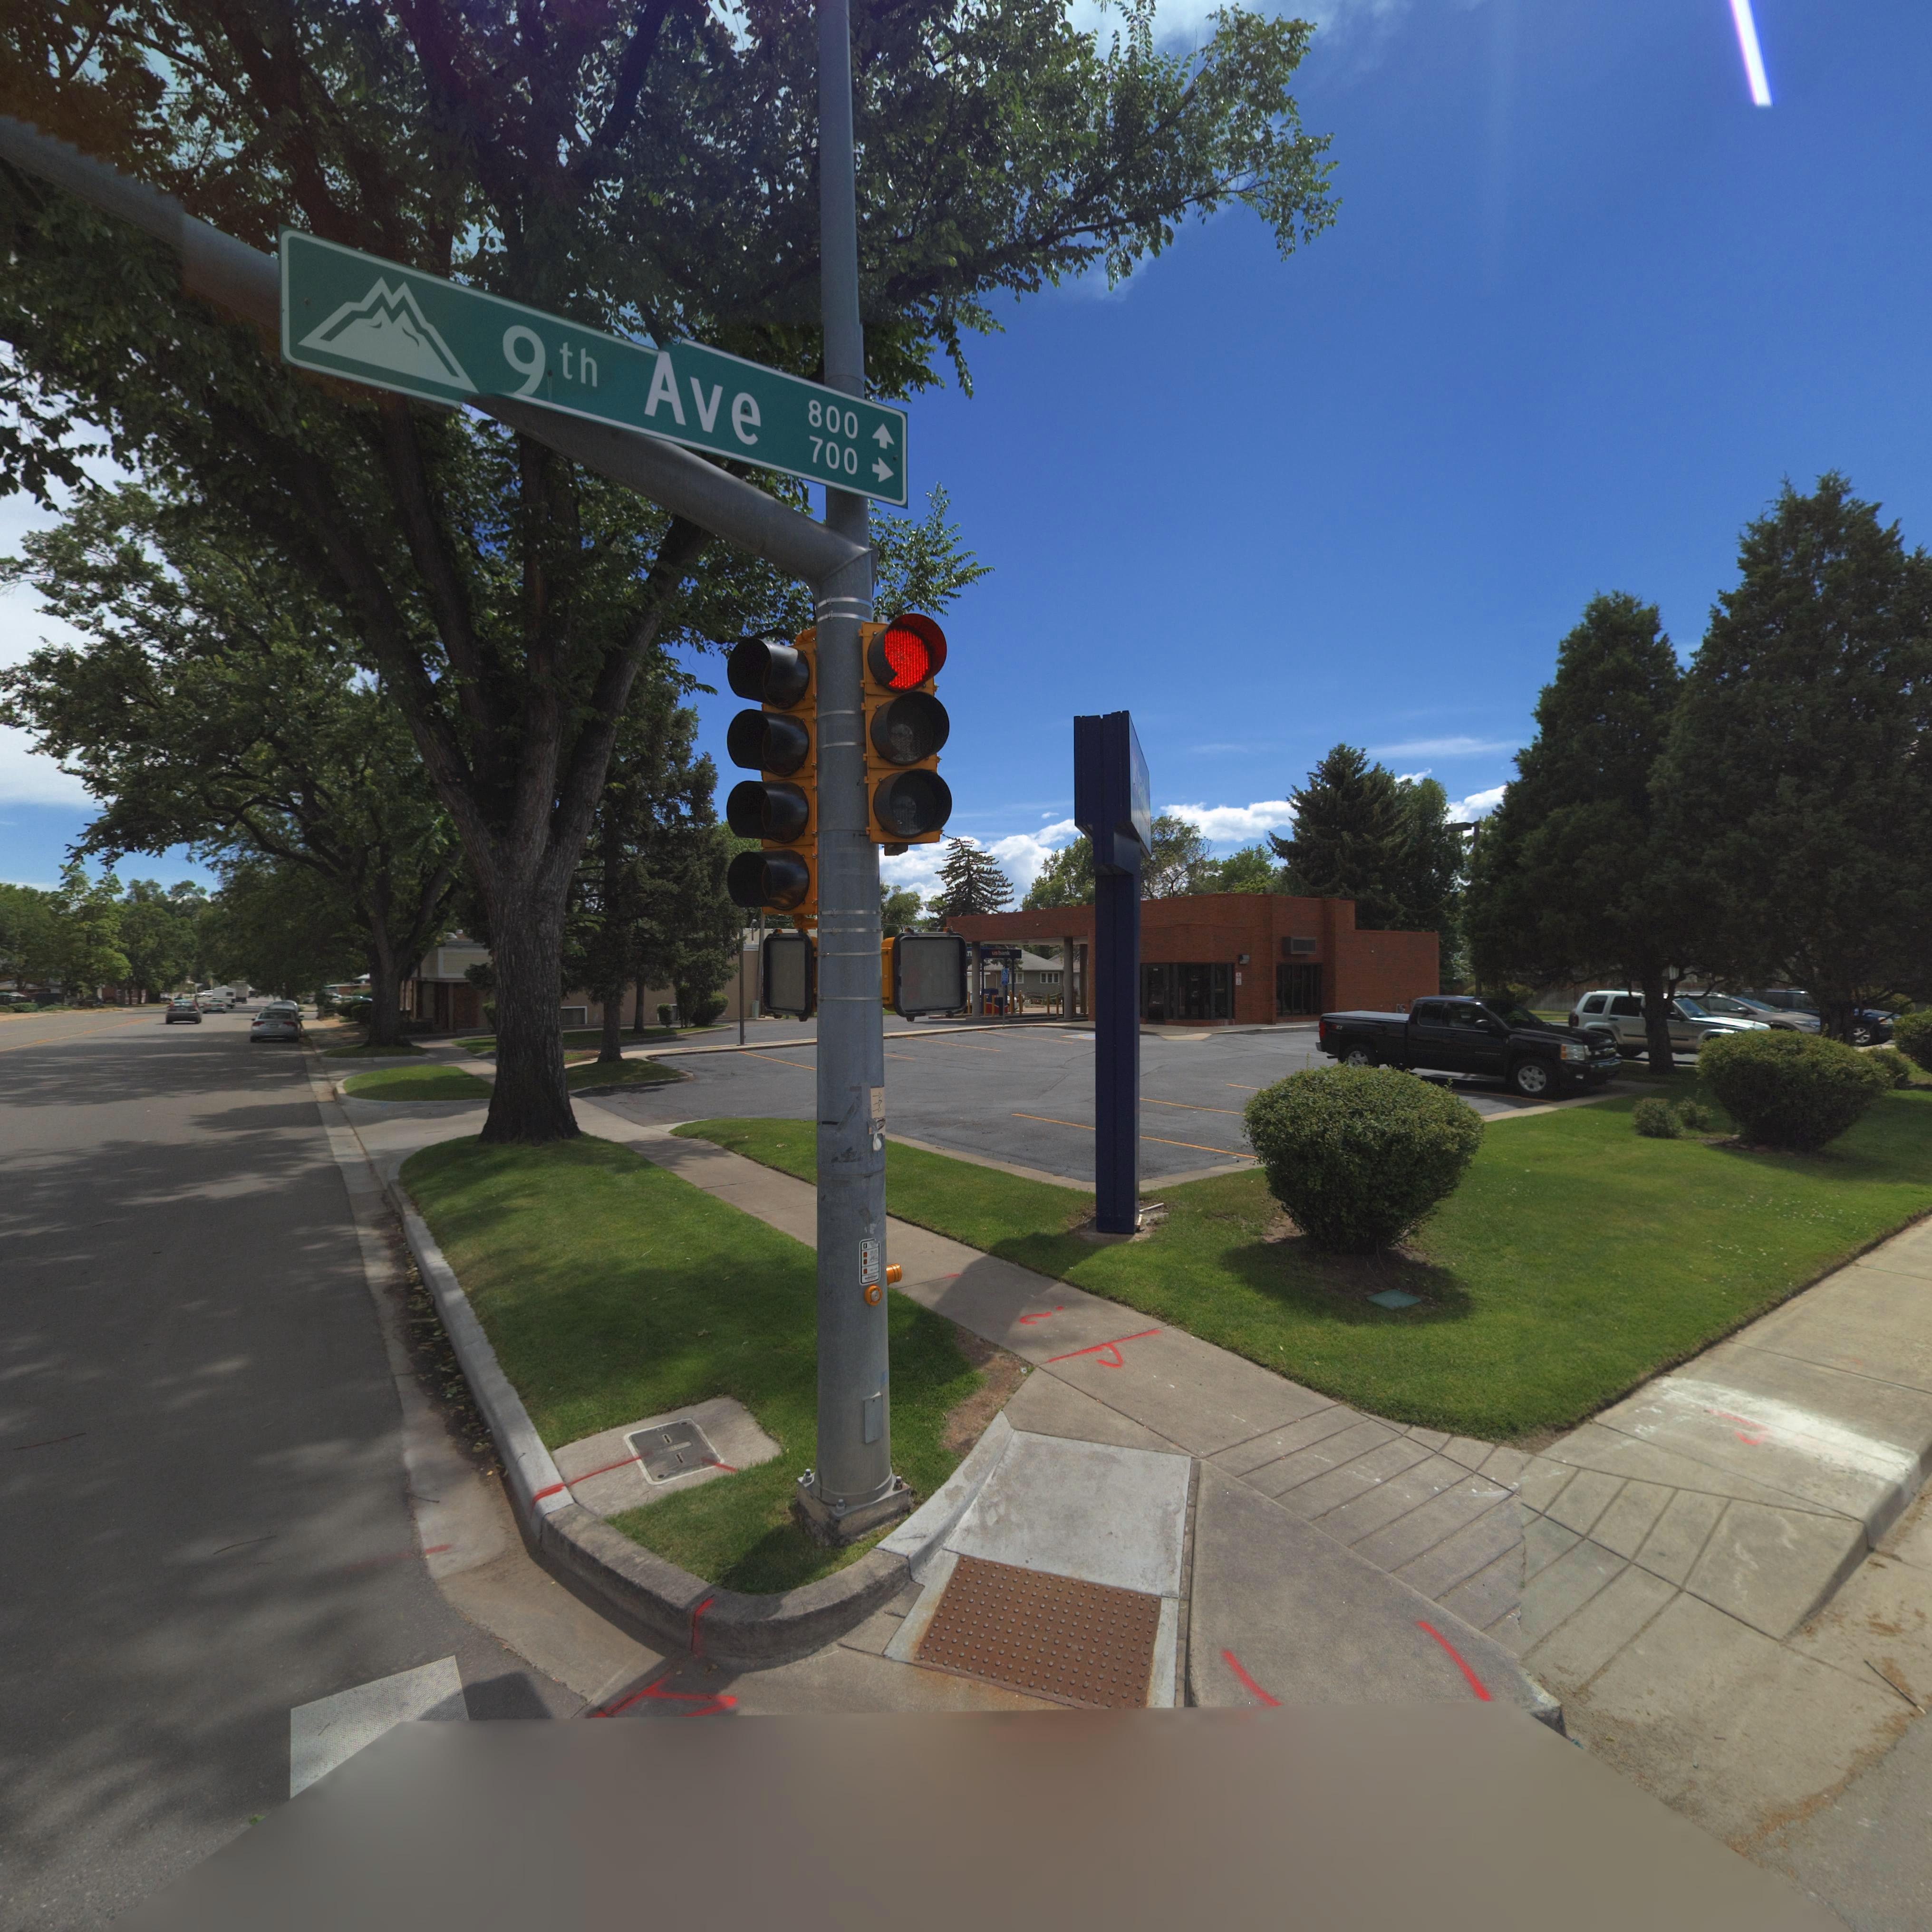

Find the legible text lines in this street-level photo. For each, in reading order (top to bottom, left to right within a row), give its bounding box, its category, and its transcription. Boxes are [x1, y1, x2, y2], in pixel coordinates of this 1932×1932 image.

[502, 322, 758, 447] StreetName: 9th Ave
[807, 398, 858, 441] StreetNumberRange: 800
[809, 435, 895, 488] StreetNumberRange: 700->
[992, 950, 1010, 955] BusinessName: usbank